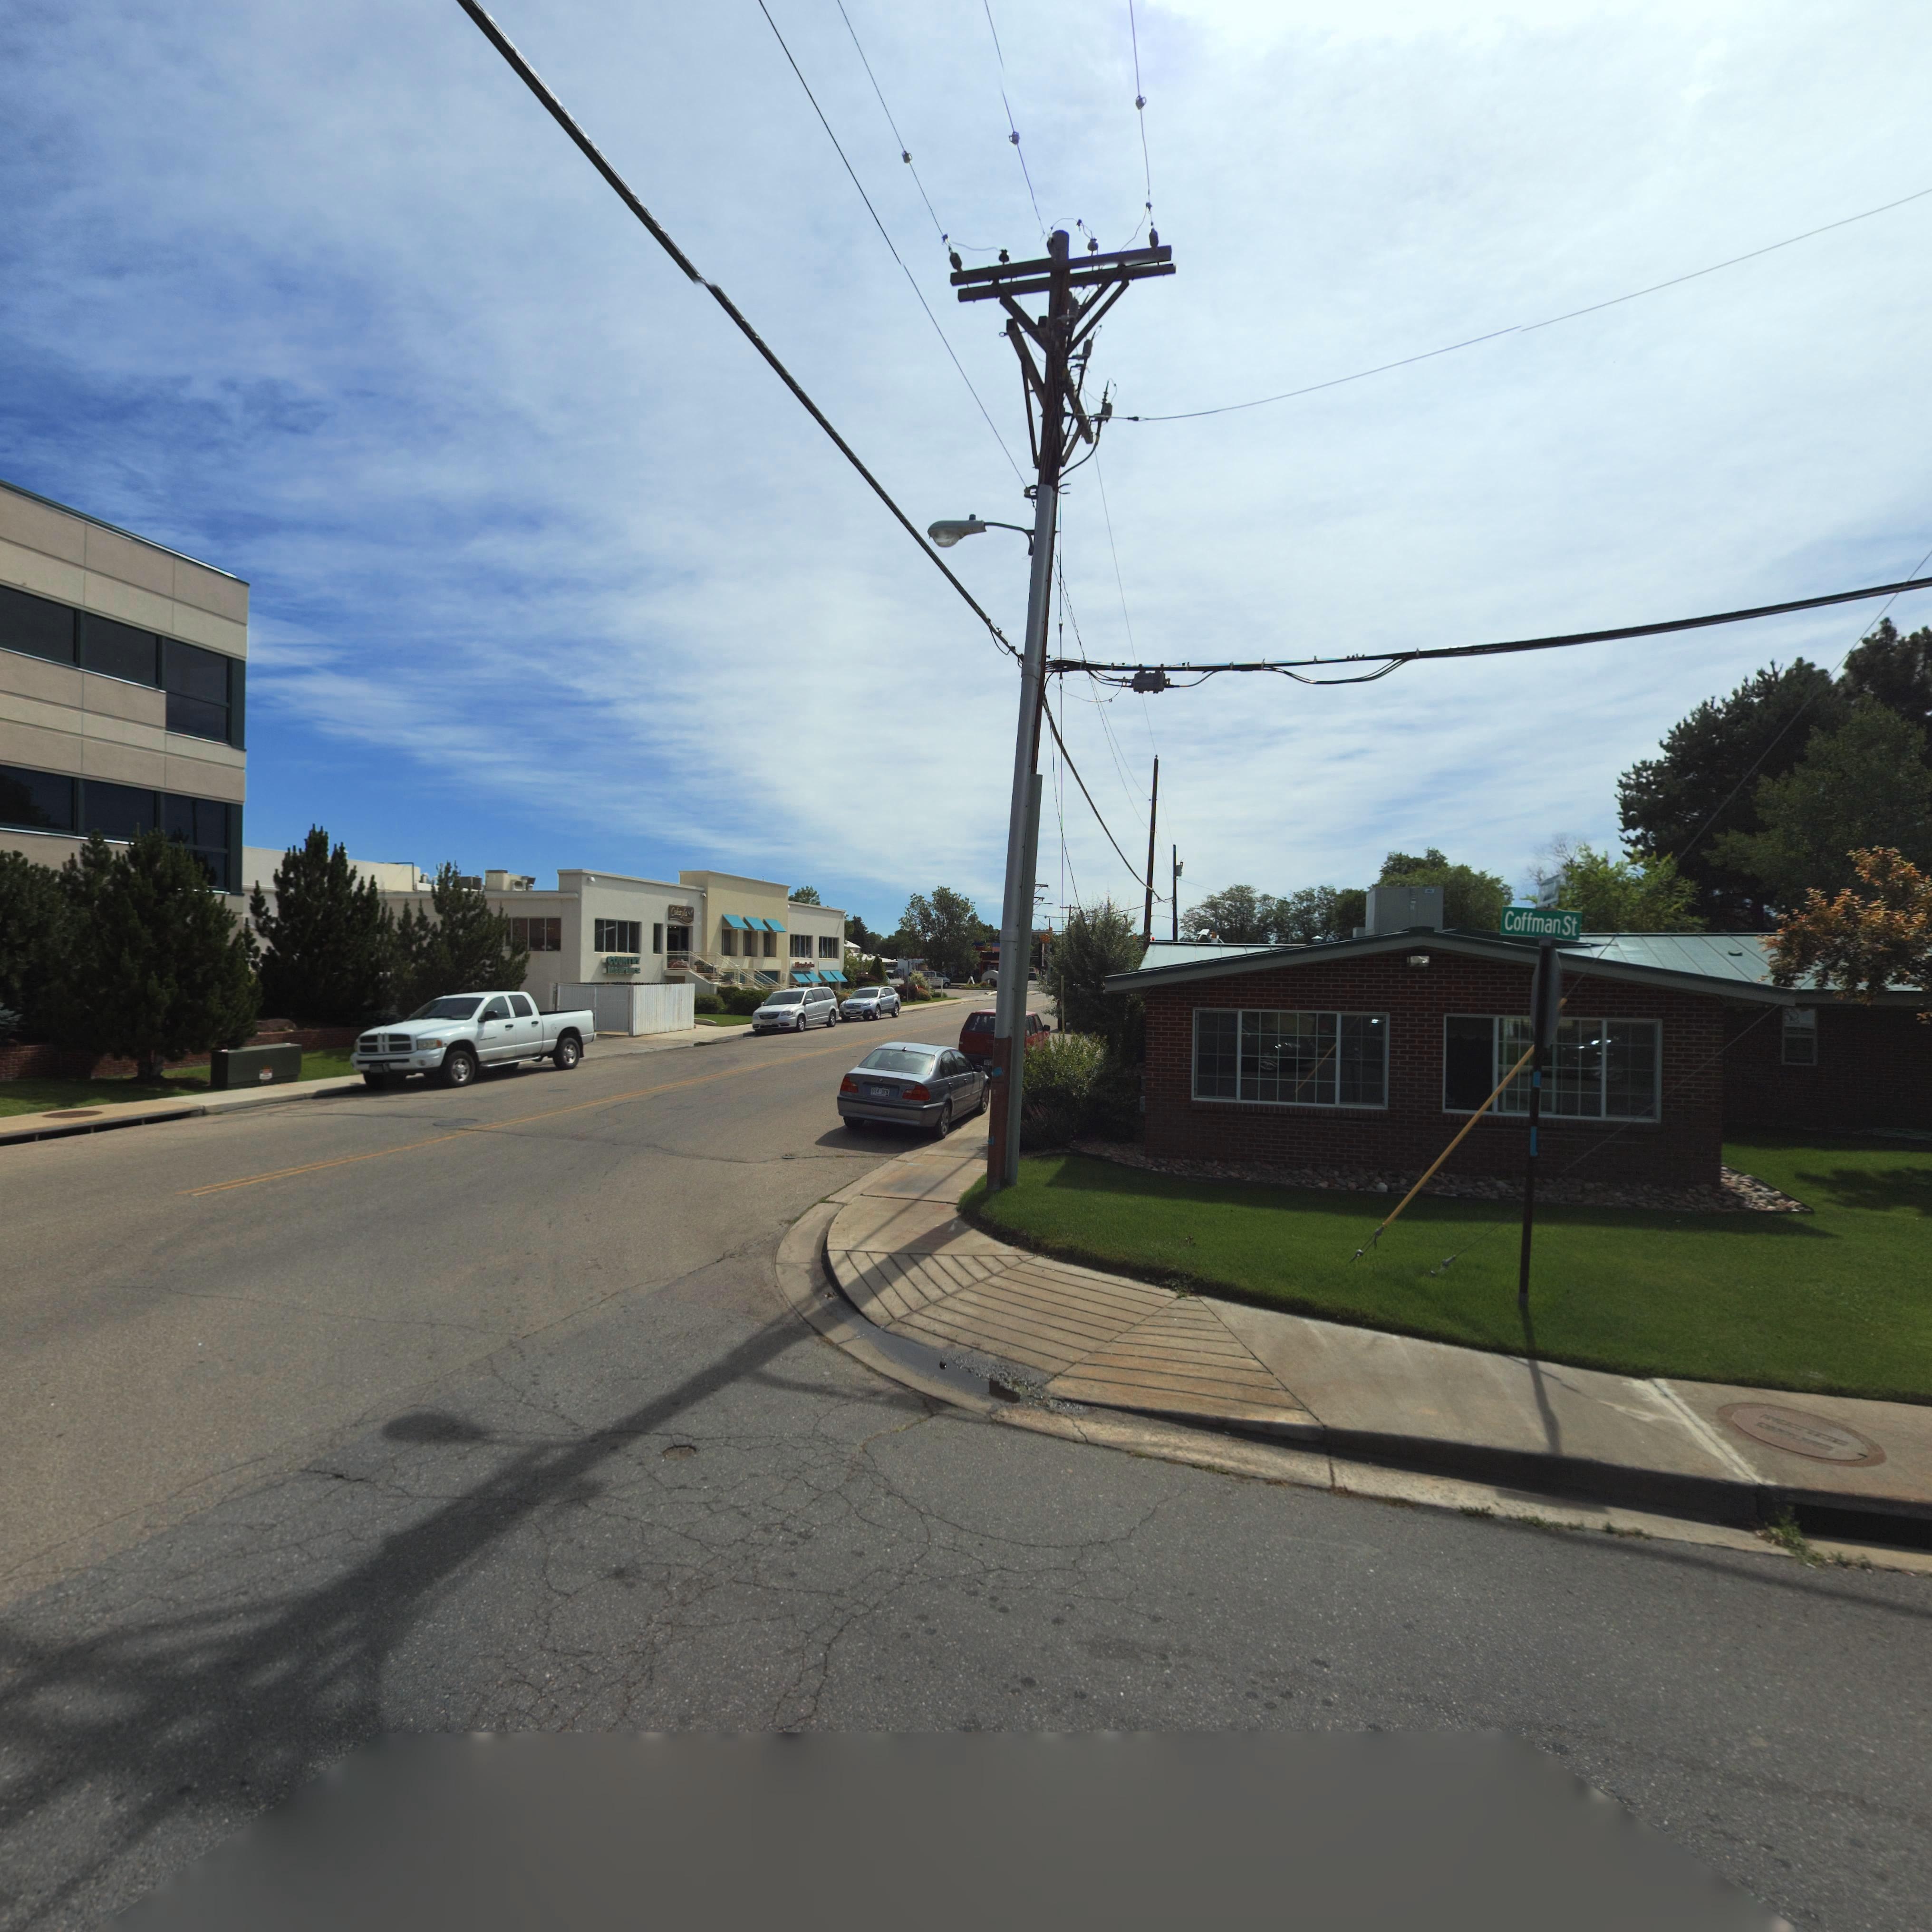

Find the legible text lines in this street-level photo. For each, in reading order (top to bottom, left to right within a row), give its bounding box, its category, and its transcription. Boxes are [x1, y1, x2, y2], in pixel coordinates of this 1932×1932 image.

[1504, 909, 1578, 937] StreetName: Coffman St
[607, 956, 641, 965] BusinessName: COUNTRY
[608, 965, 641, 974] BusinessName: Insurance